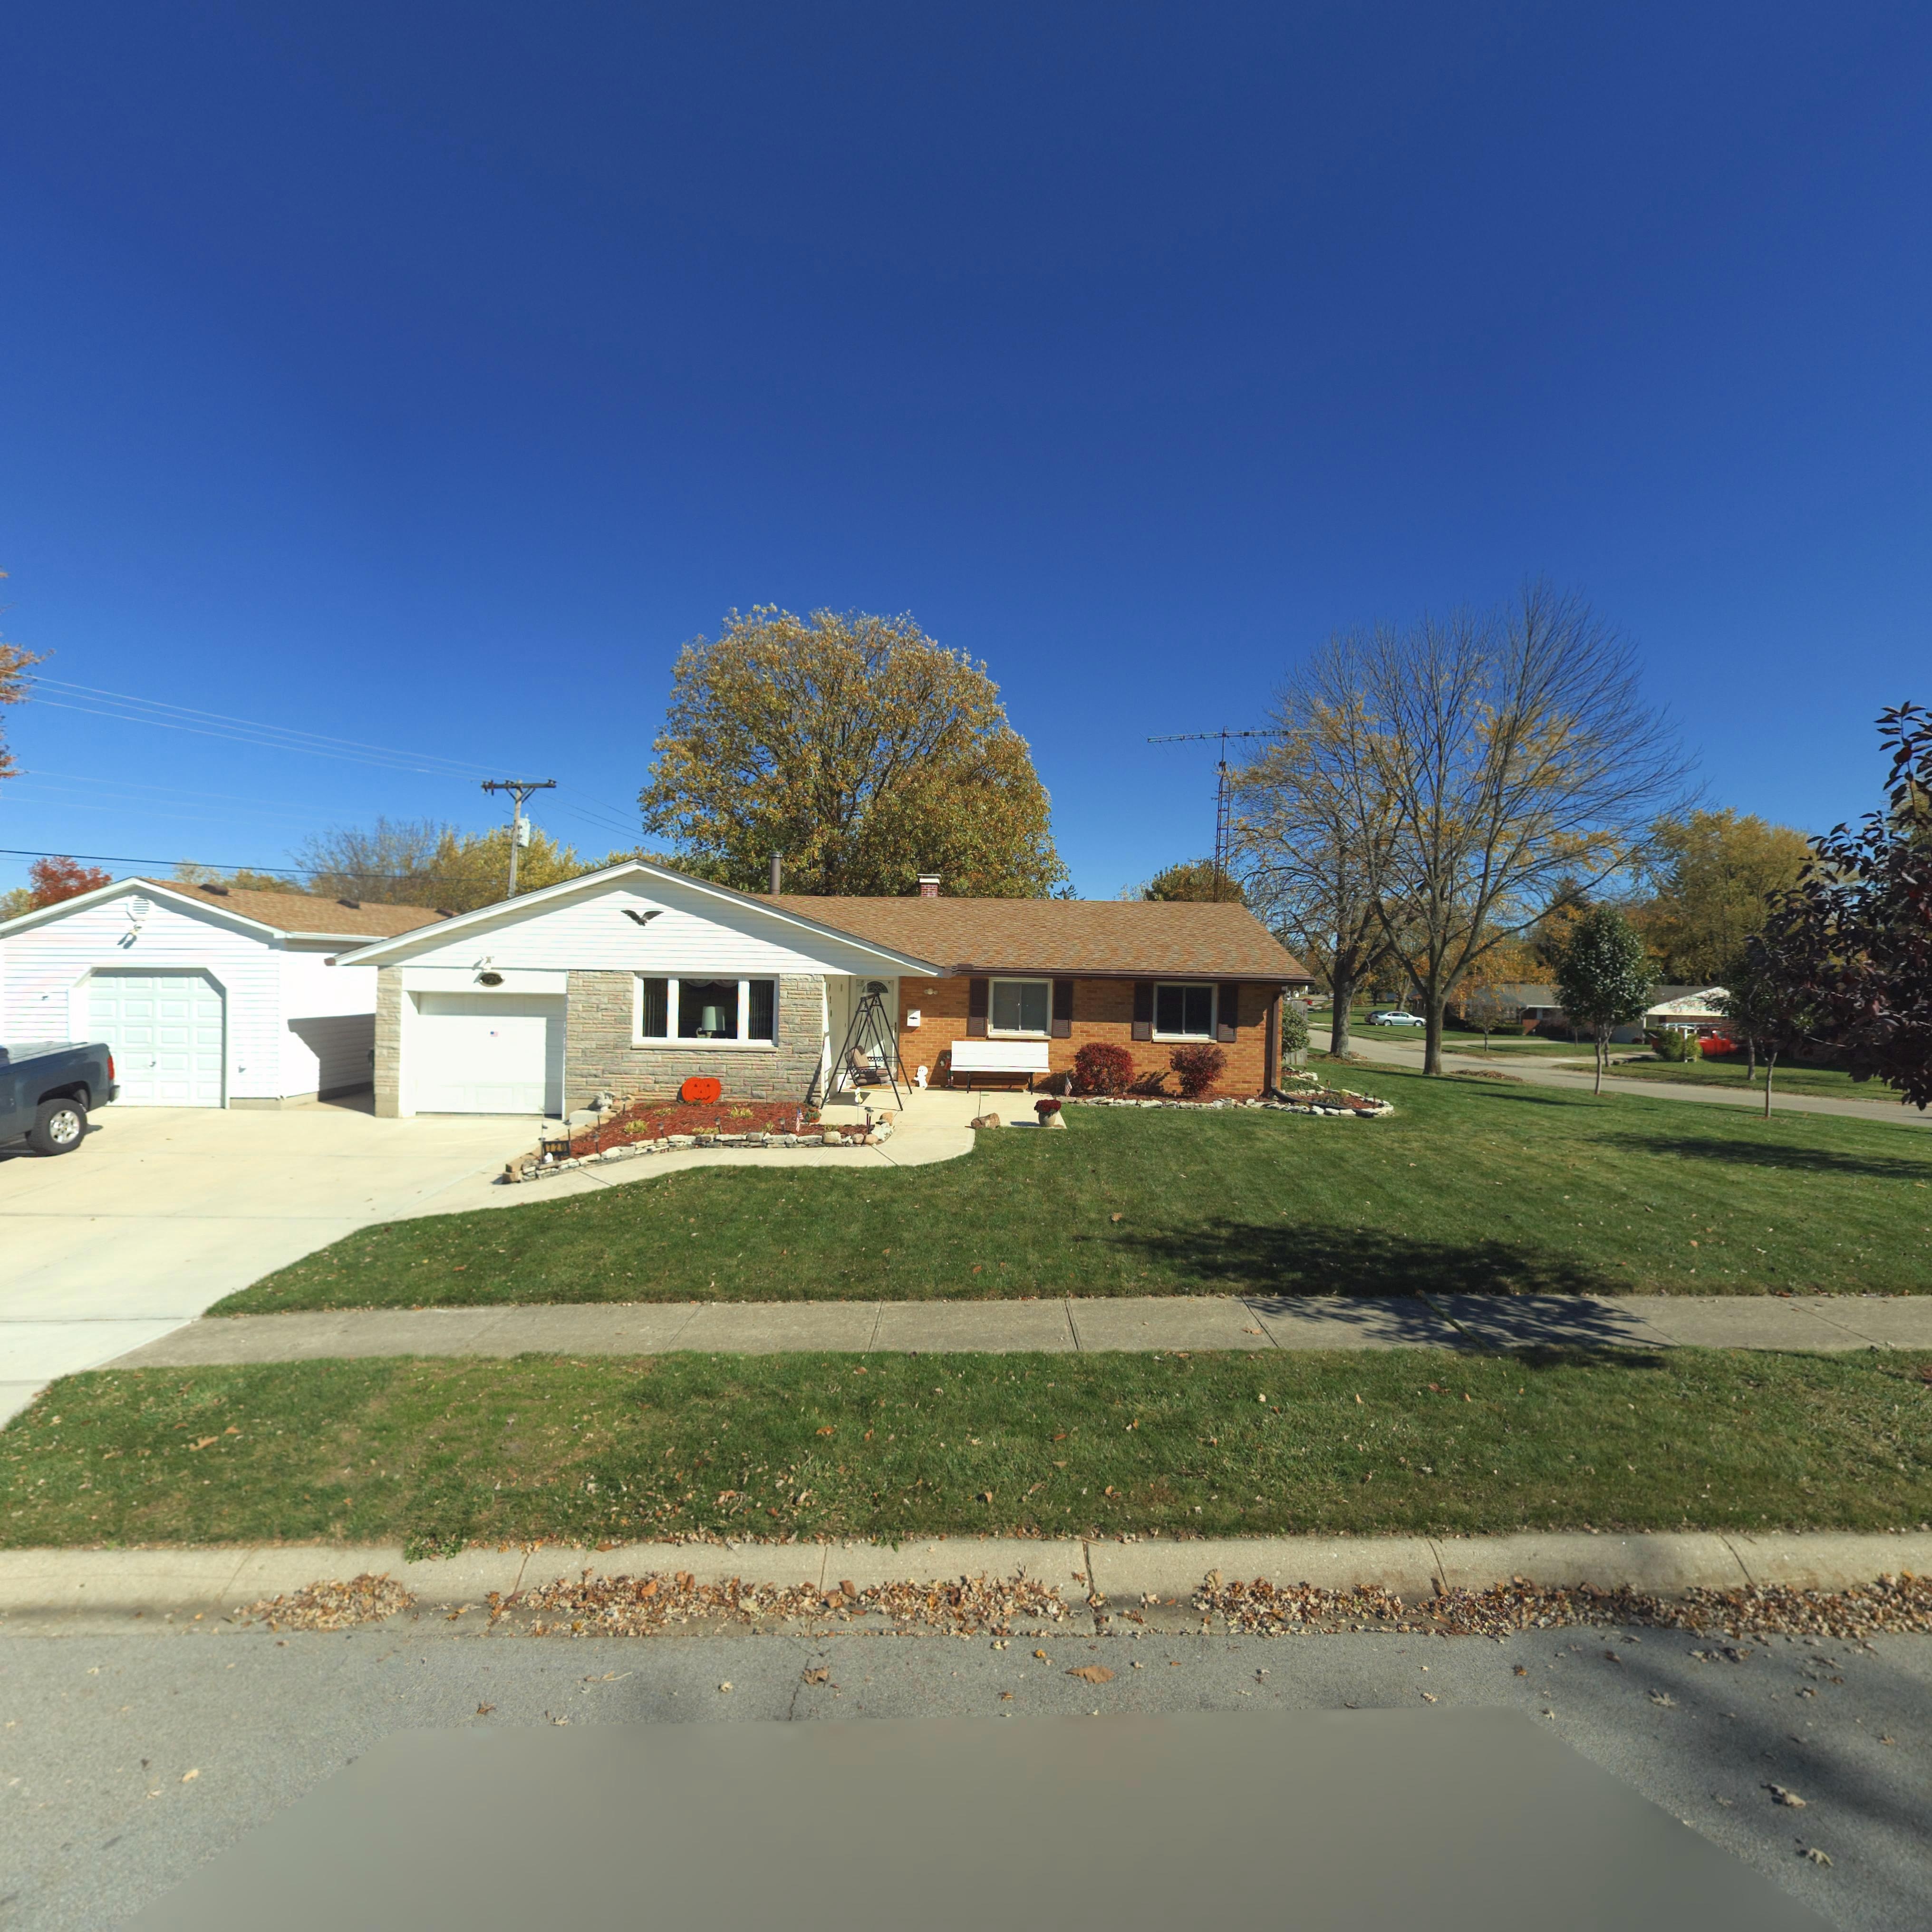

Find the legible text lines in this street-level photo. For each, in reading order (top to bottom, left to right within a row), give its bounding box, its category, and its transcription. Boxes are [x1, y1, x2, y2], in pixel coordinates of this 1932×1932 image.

[482, 974, 502, 985] StreetNumber: 720
[546, 1141, 566, 1152] StreetNumber: 720